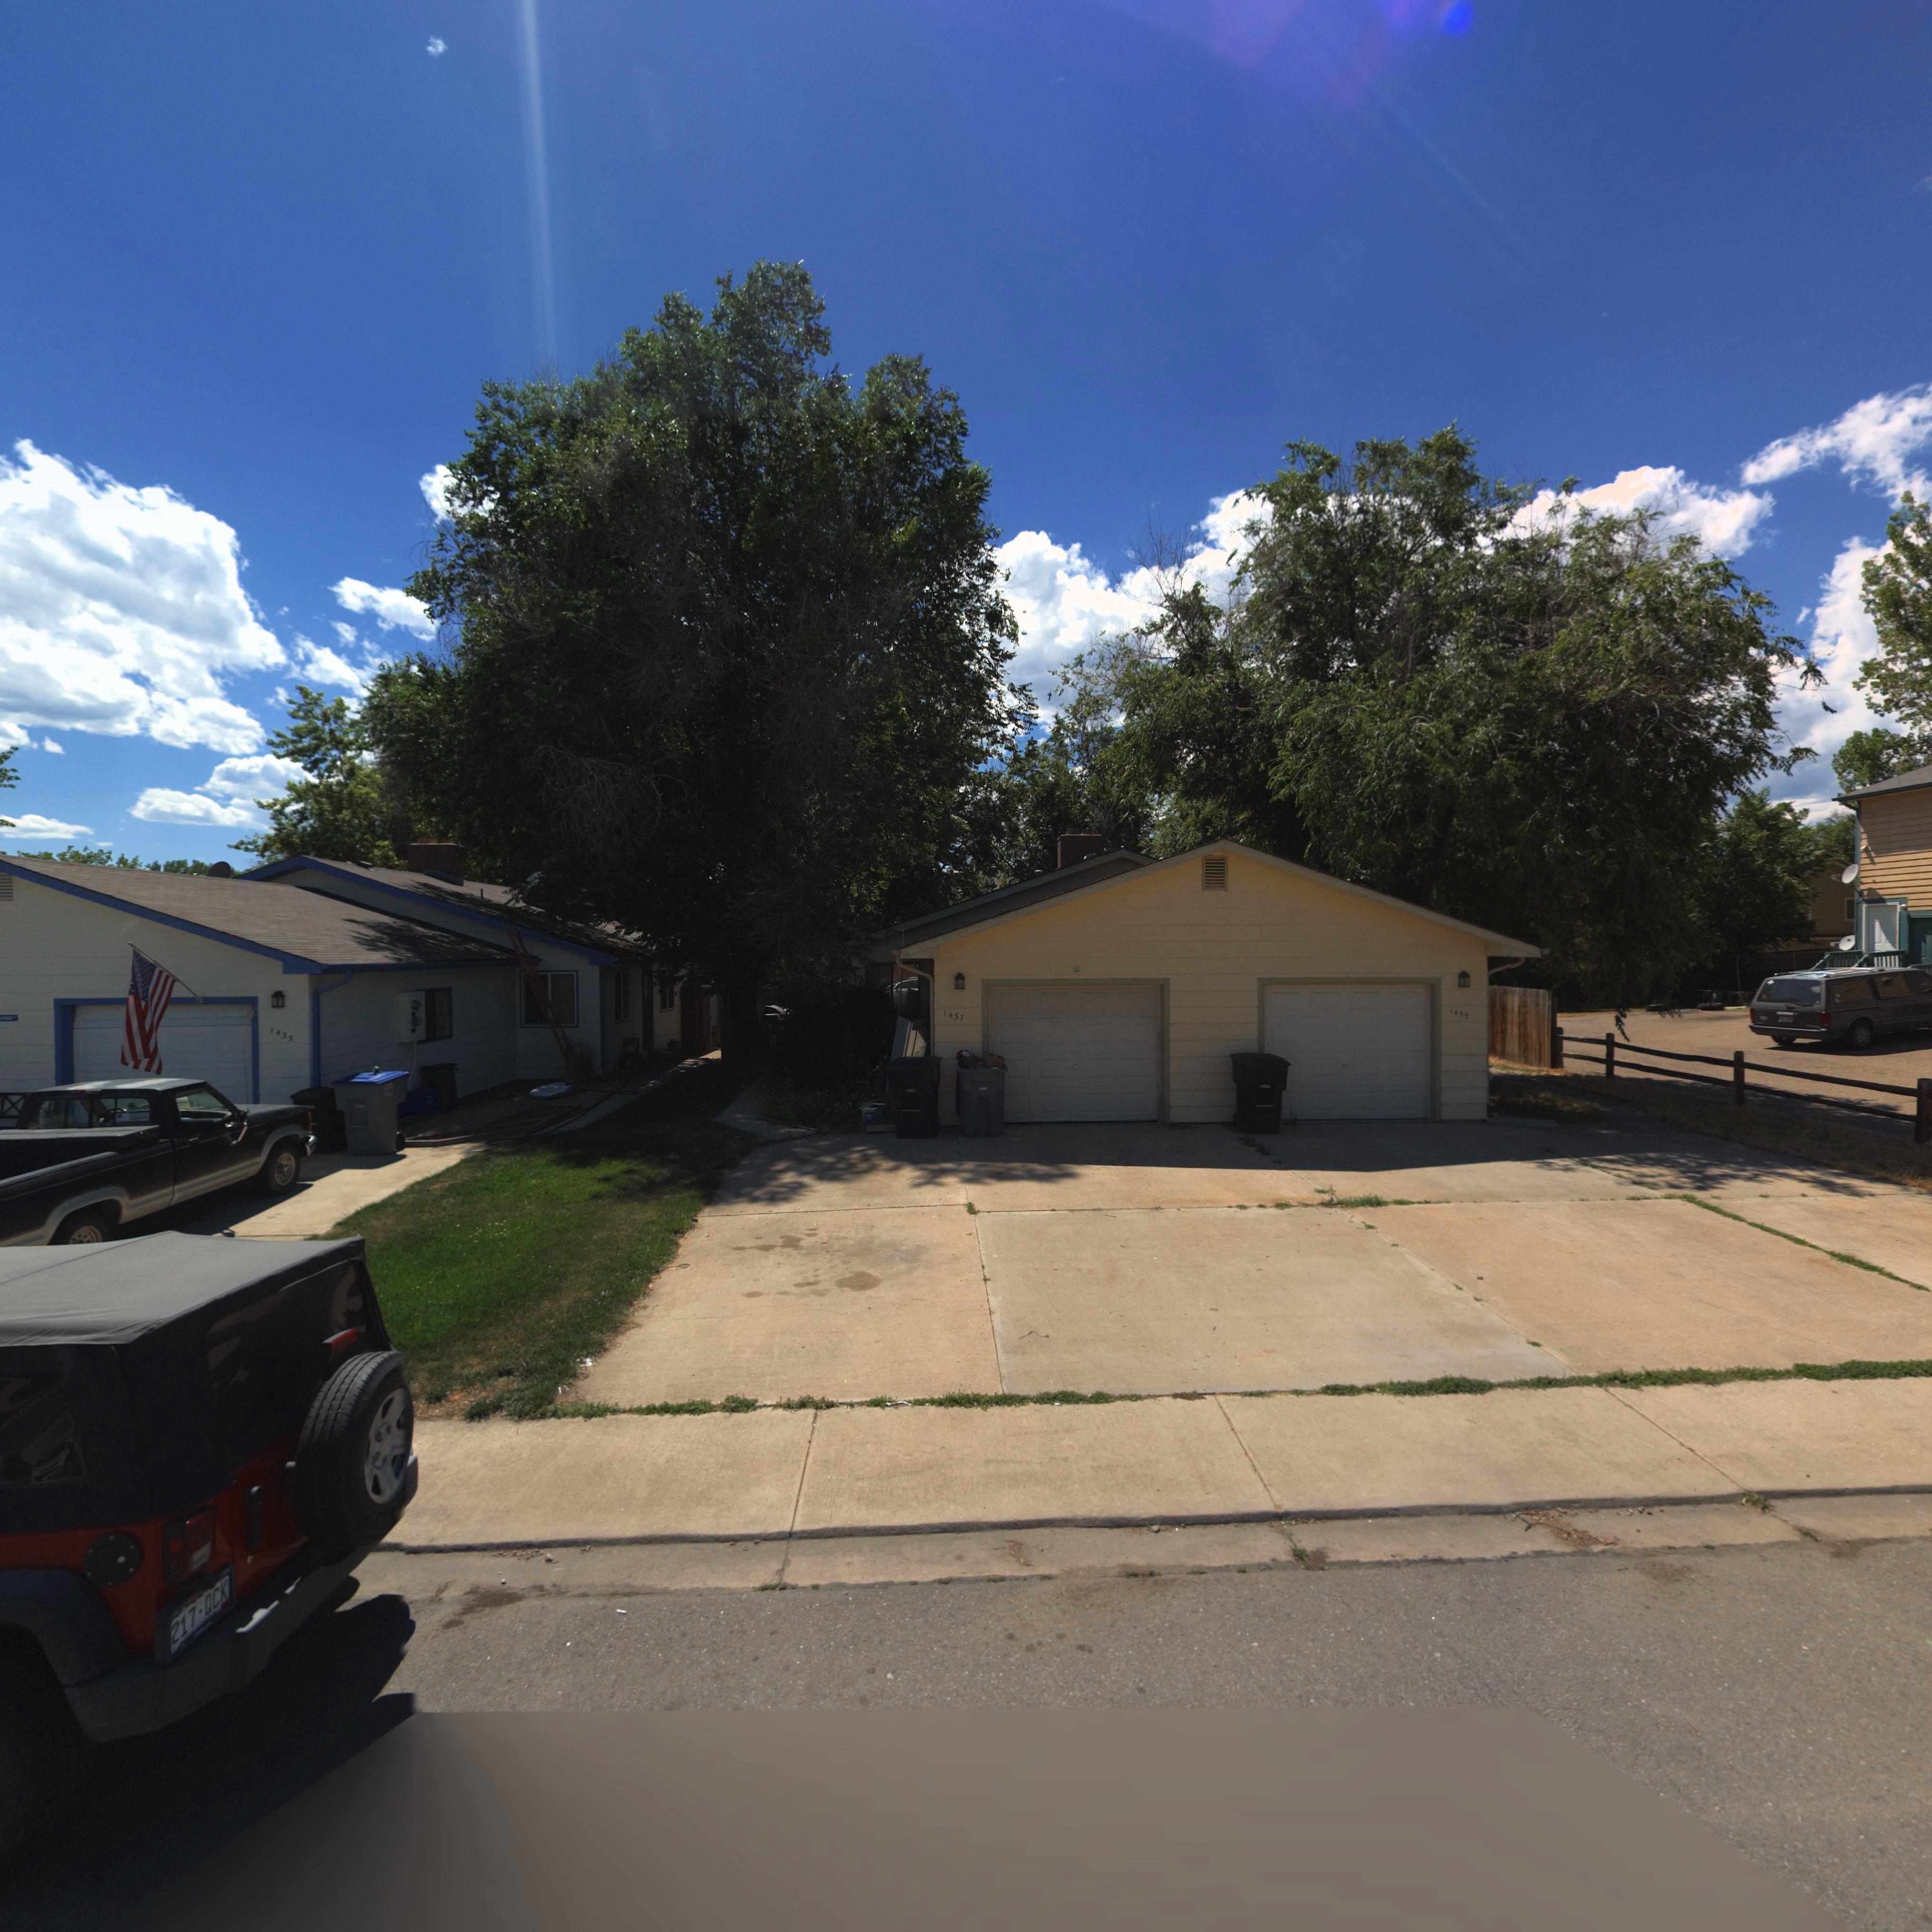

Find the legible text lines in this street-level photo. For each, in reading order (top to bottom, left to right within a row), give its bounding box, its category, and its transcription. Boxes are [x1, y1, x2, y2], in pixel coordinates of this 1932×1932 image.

[943, 1009, 964, 1022] StreetNumber: 1437
[1449, 1005, 1468, 1019] StreetNumber: 1439
[270, 1026, 293, 1042] StreetNumber: 1433